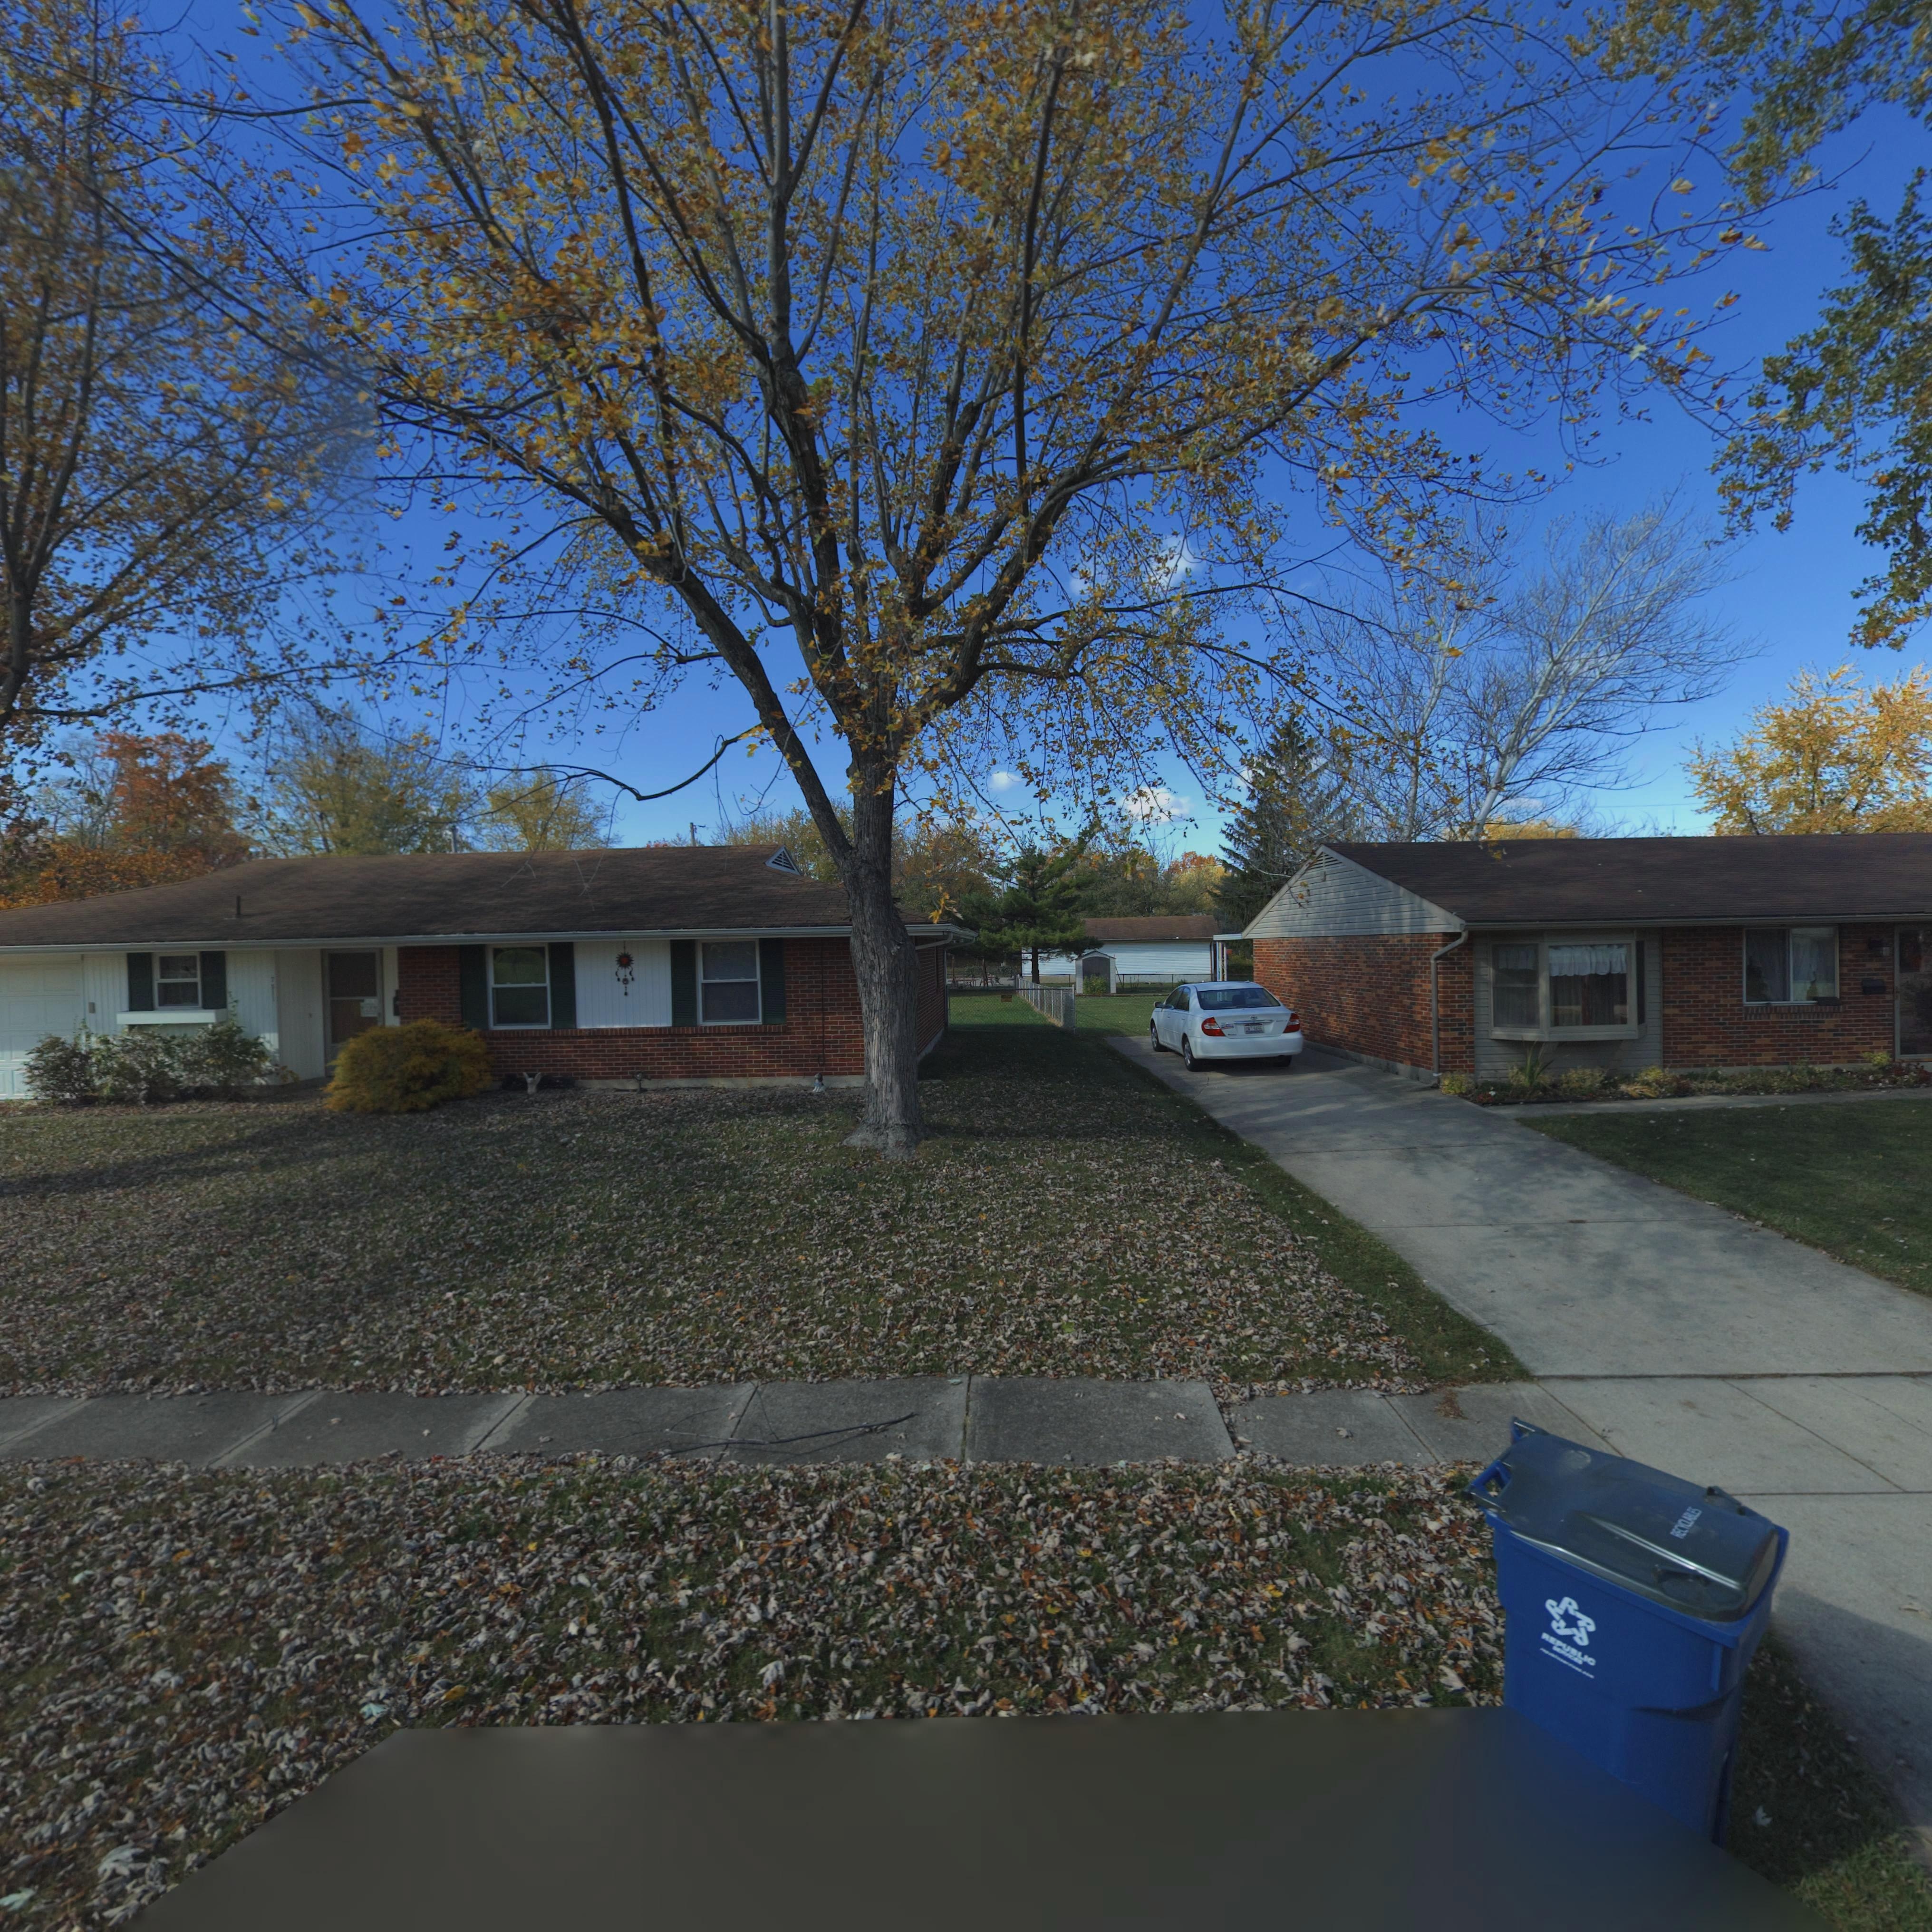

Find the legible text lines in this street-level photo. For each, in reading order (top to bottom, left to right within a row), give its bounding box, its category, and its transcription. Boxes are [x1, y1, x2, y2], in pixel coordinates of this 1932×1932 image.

[269, 976, 277, 1004] StreetNumber: 7***